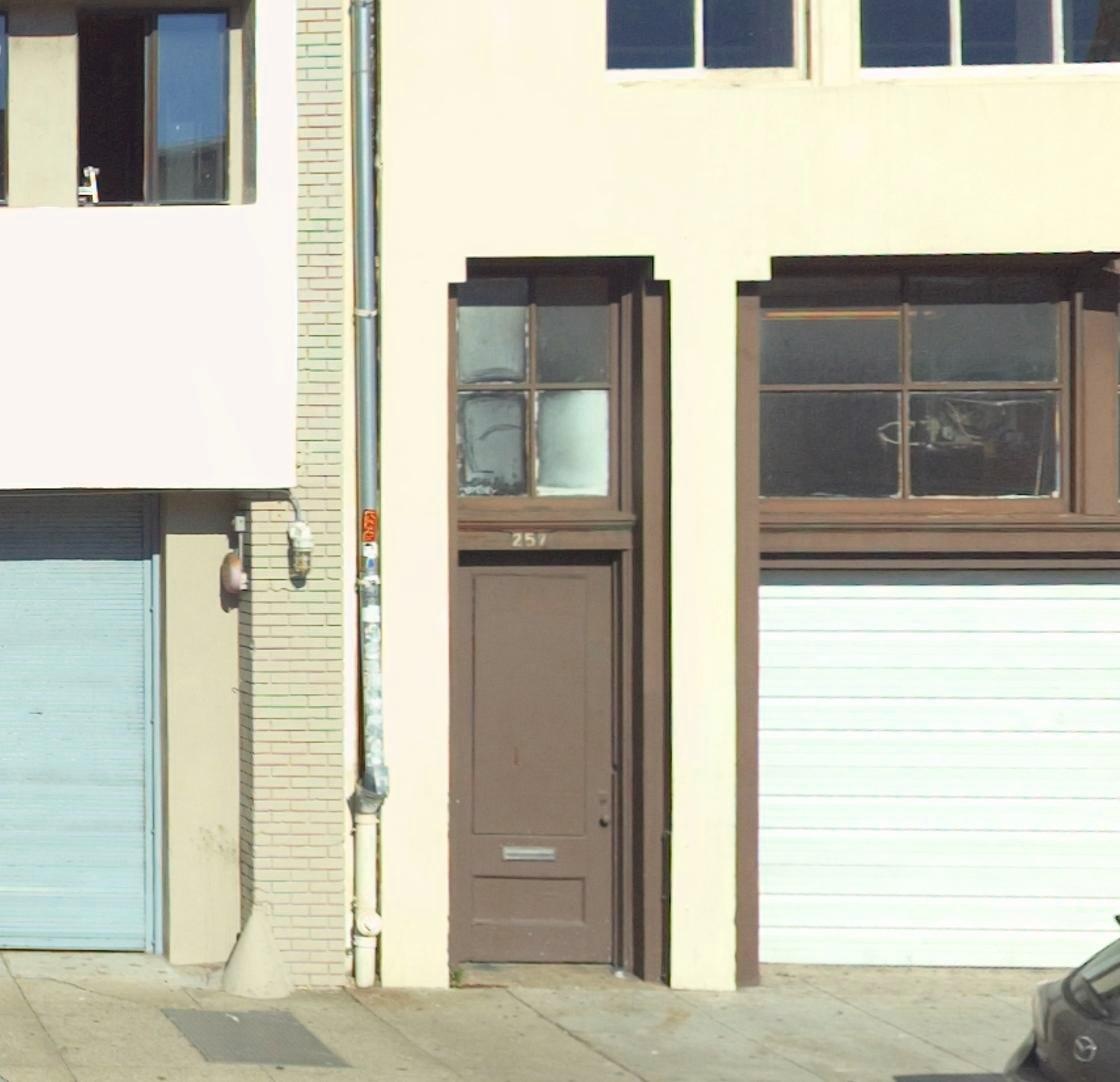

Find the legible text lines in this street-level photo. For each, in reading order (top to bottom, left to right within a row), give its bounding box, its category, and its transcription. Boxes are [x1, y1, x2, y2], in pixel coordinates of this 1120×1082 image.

[510, 531, 549, 548] StreetNumber: 257